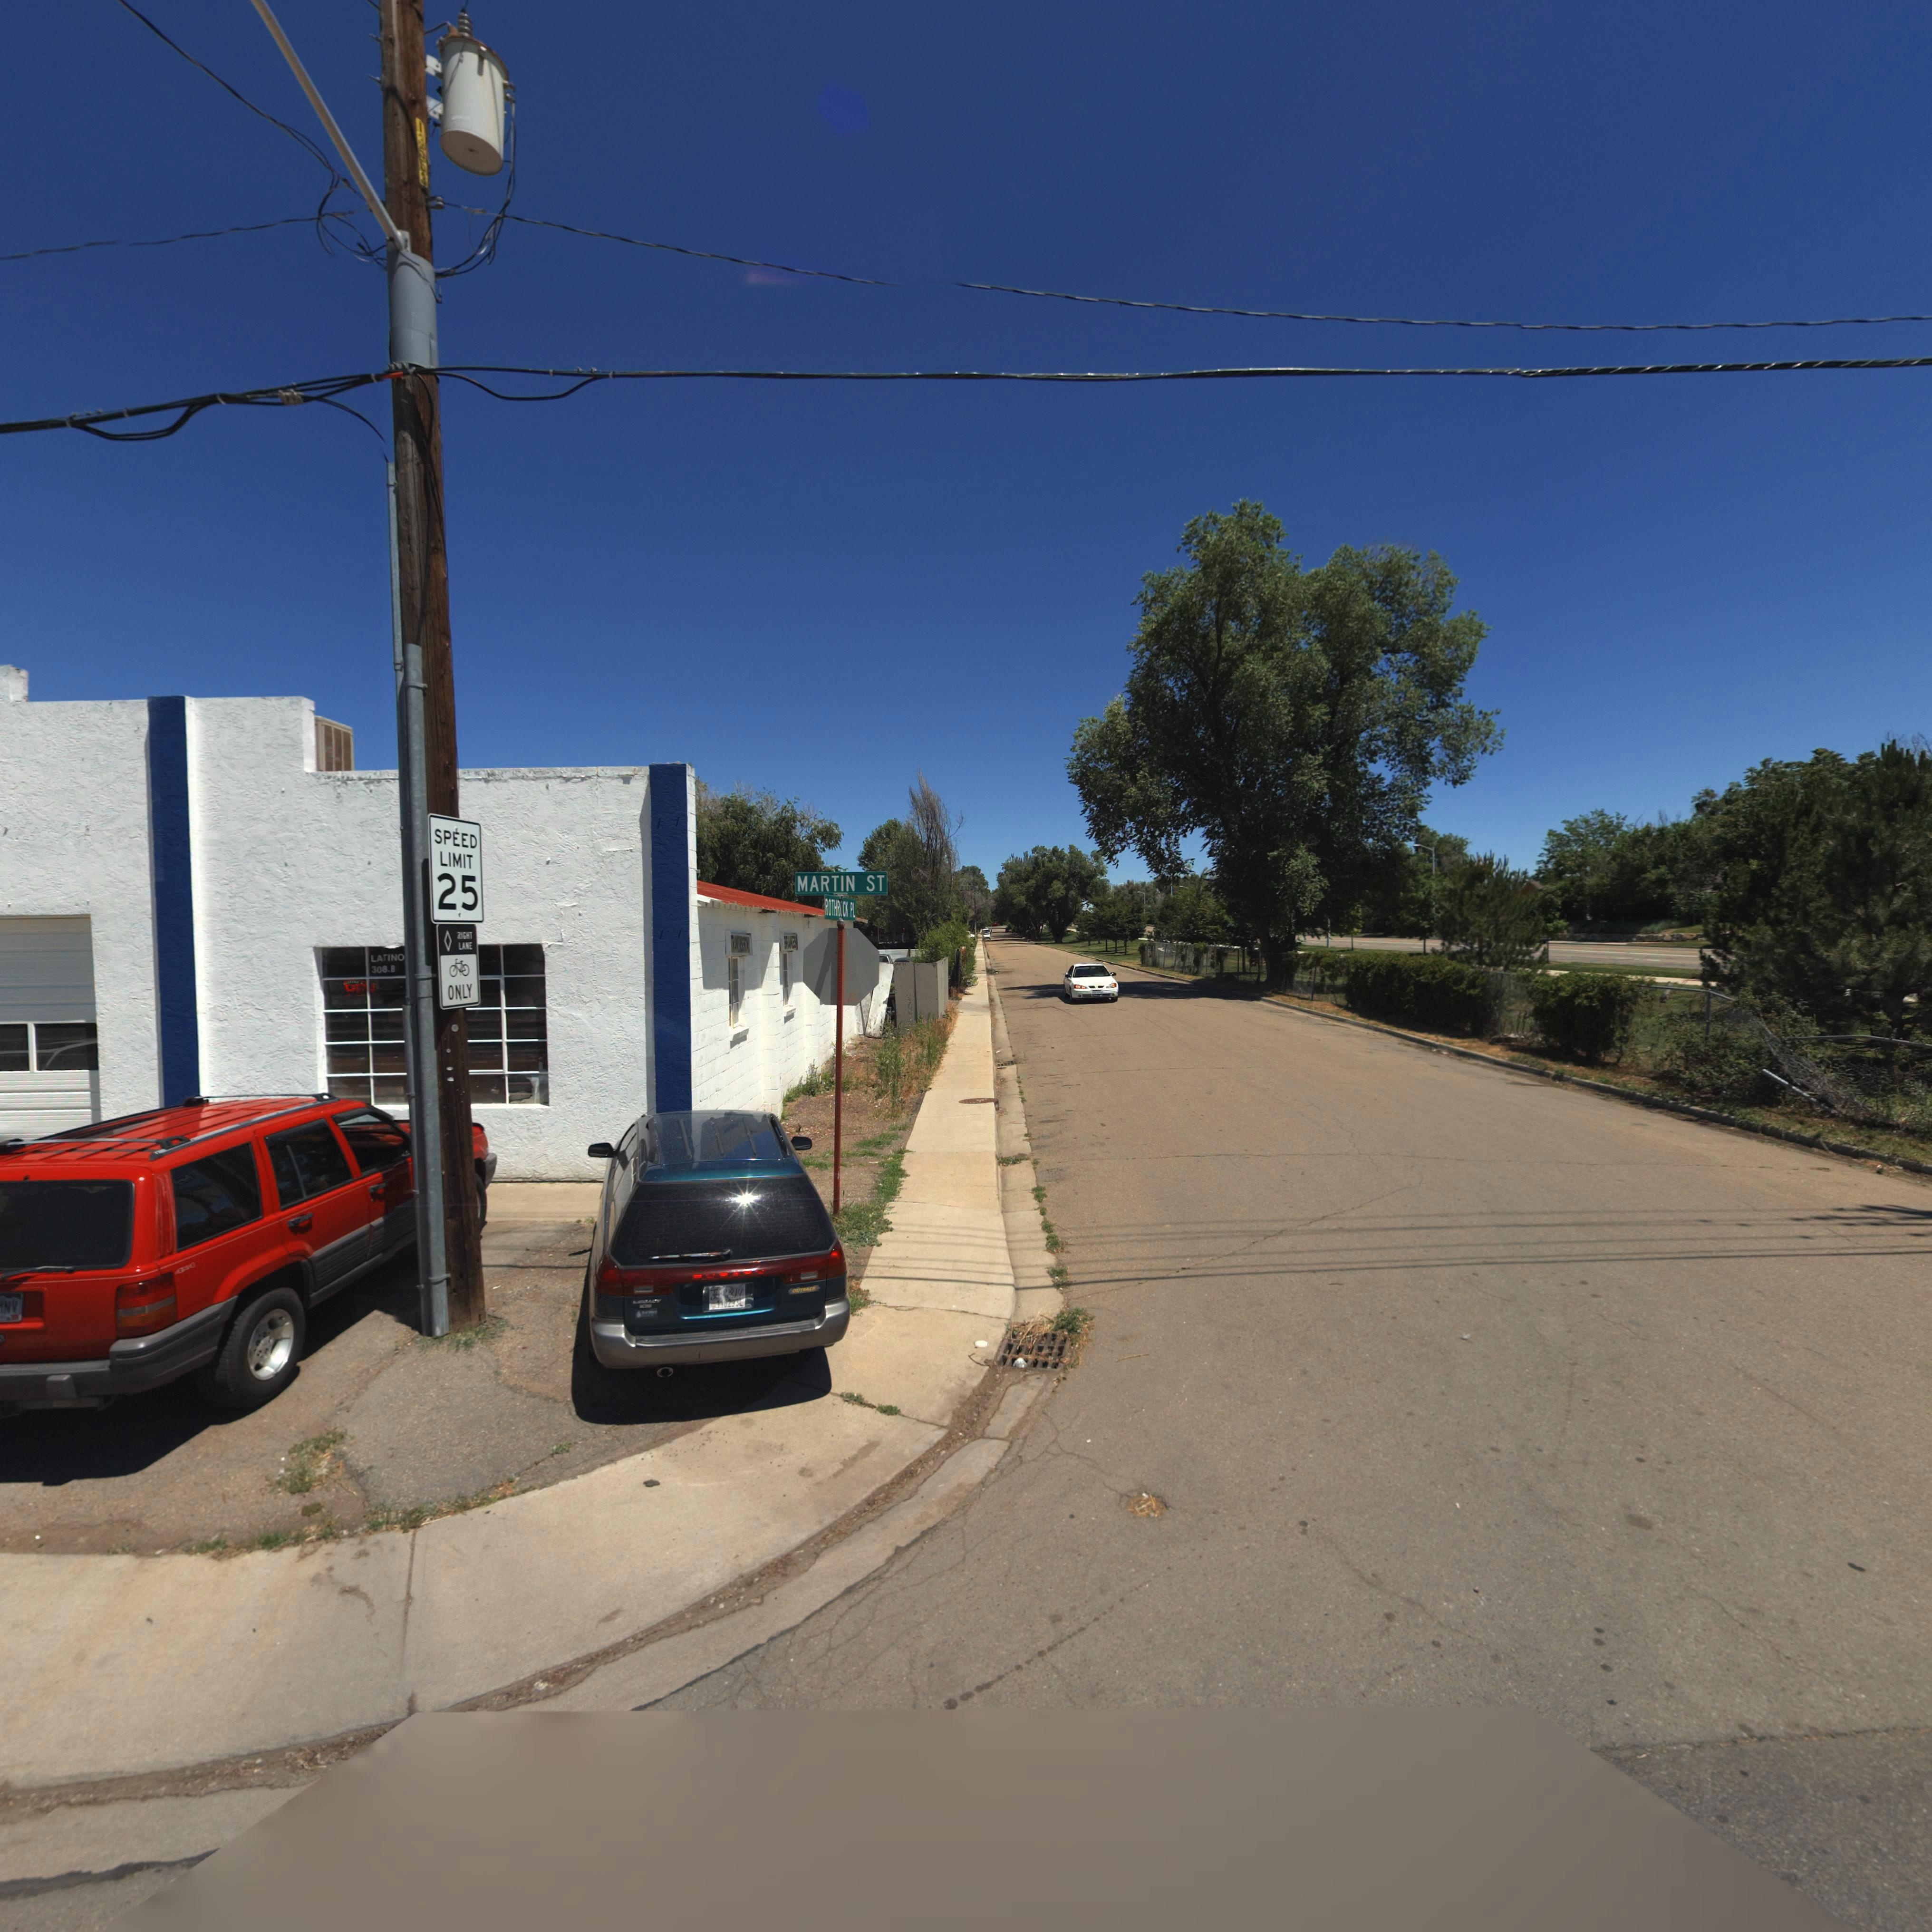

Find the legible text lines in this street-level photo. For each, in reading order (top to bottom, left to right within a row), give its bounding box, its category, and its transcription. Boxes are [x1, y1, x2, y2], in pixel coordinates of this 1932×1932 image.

[797, 874, 885, 892] StreetName: MARTIN ST
[825, 898, 856, 918] StreetName: ROTHROCK PL
[370, 953, 406, 963] BusinessName: LATINO
[371, 964, 396, 974] StreetNumber: 308 B